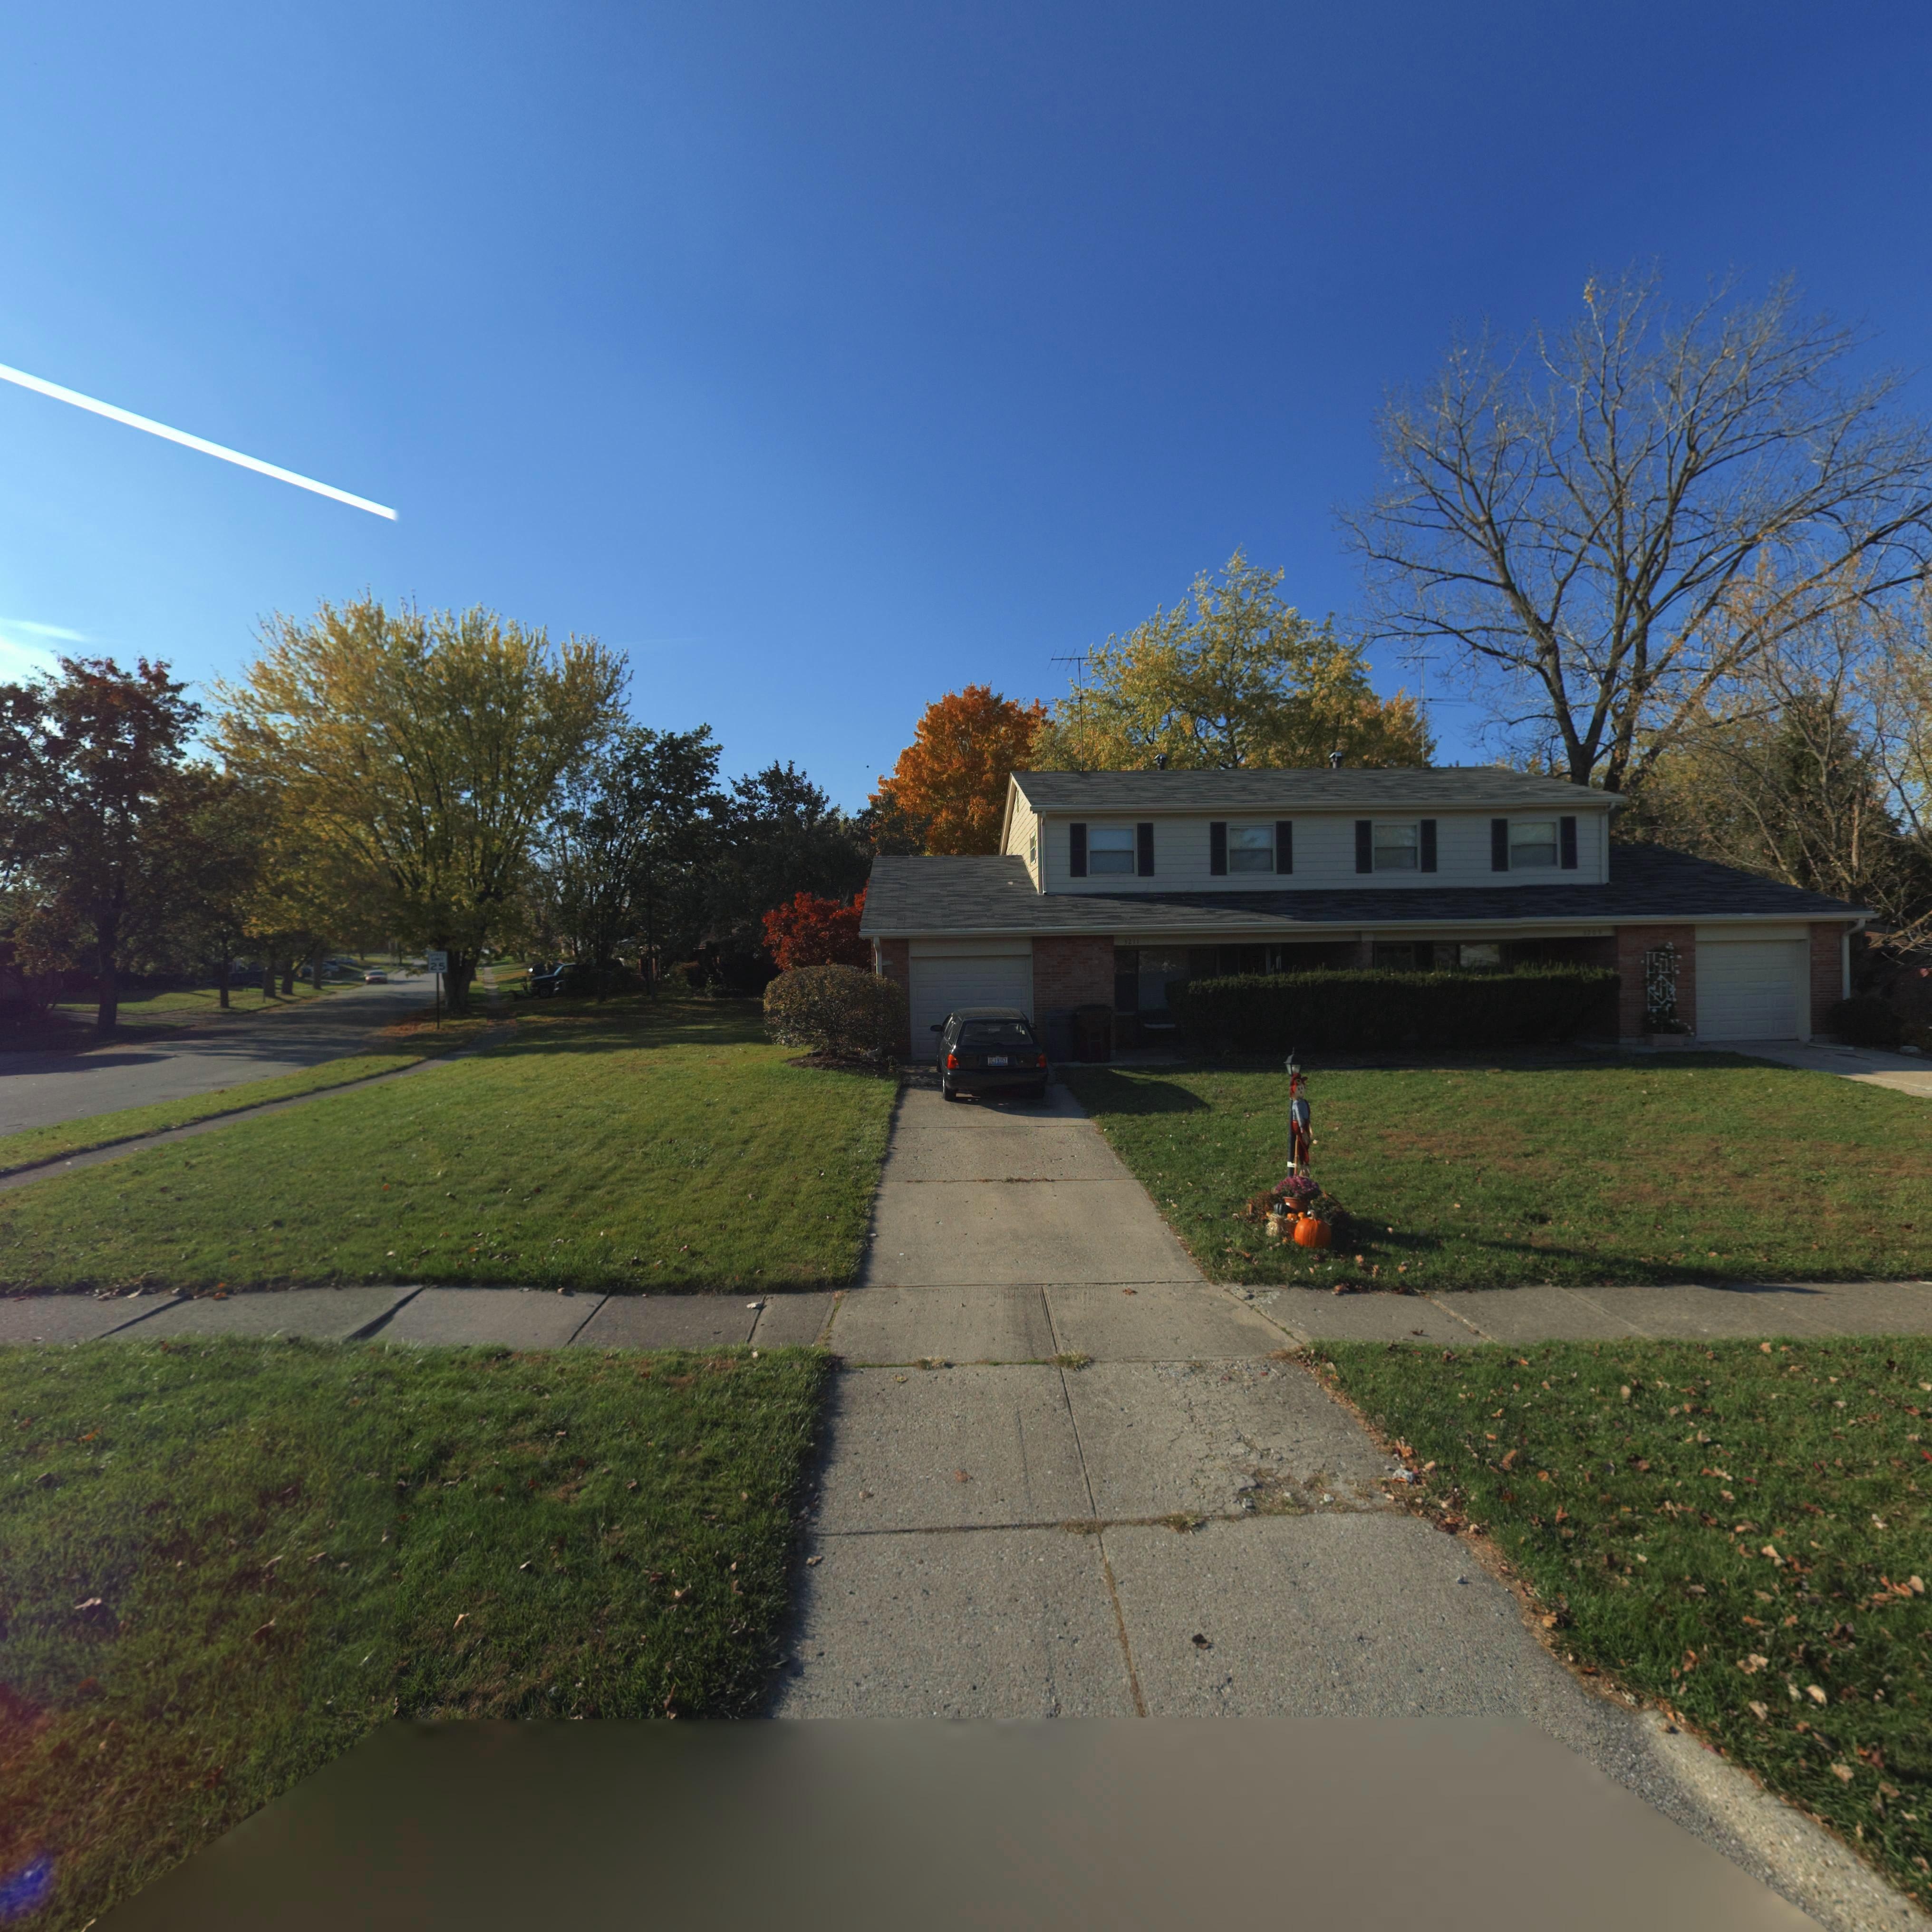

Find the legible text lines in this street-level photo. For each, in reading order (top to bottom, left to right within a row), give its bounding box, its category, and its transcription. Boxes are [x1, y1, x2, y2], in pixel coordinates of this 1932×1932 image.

[1582, 928, 1601, 935] StreetNumber: 3209
[1123, 938, 1139, 945] StreetNumber: 3211